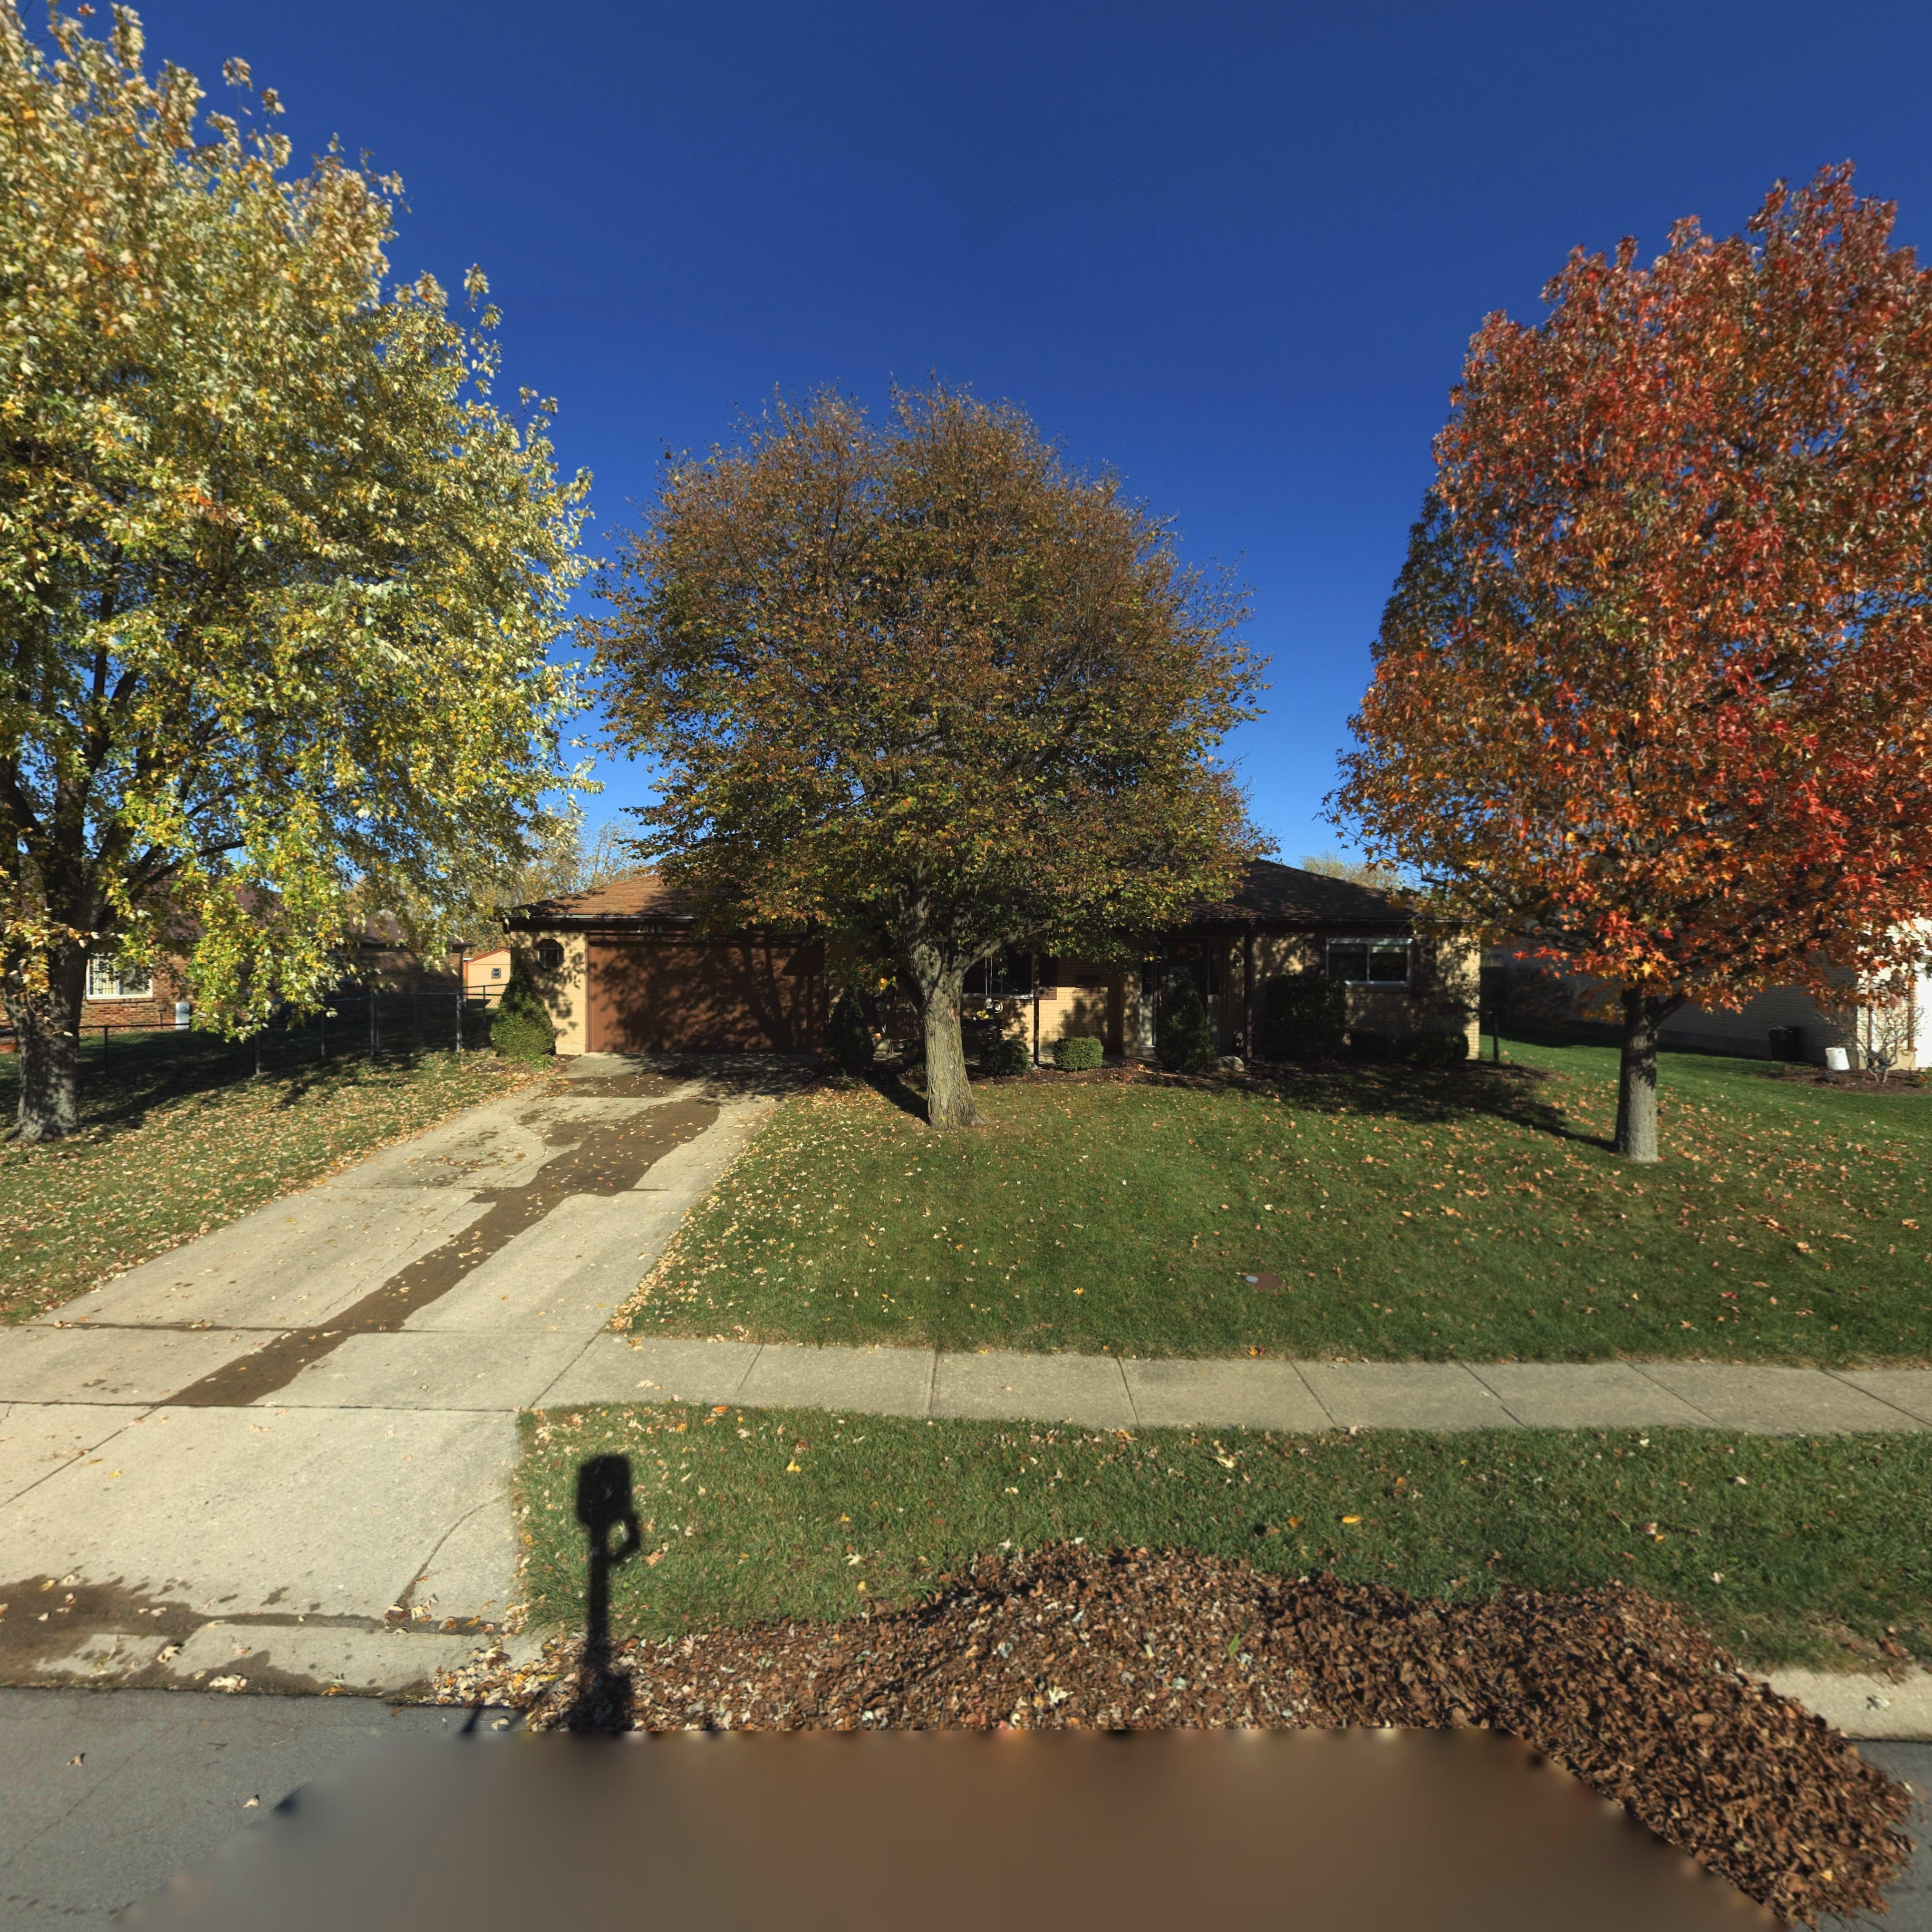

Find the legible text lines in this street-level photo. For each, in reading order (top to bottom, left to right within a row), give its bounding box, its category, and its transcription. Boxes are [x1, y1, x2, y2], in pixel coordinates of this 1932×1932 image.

[637, 925, 663, 934] StreetNumber: 7048